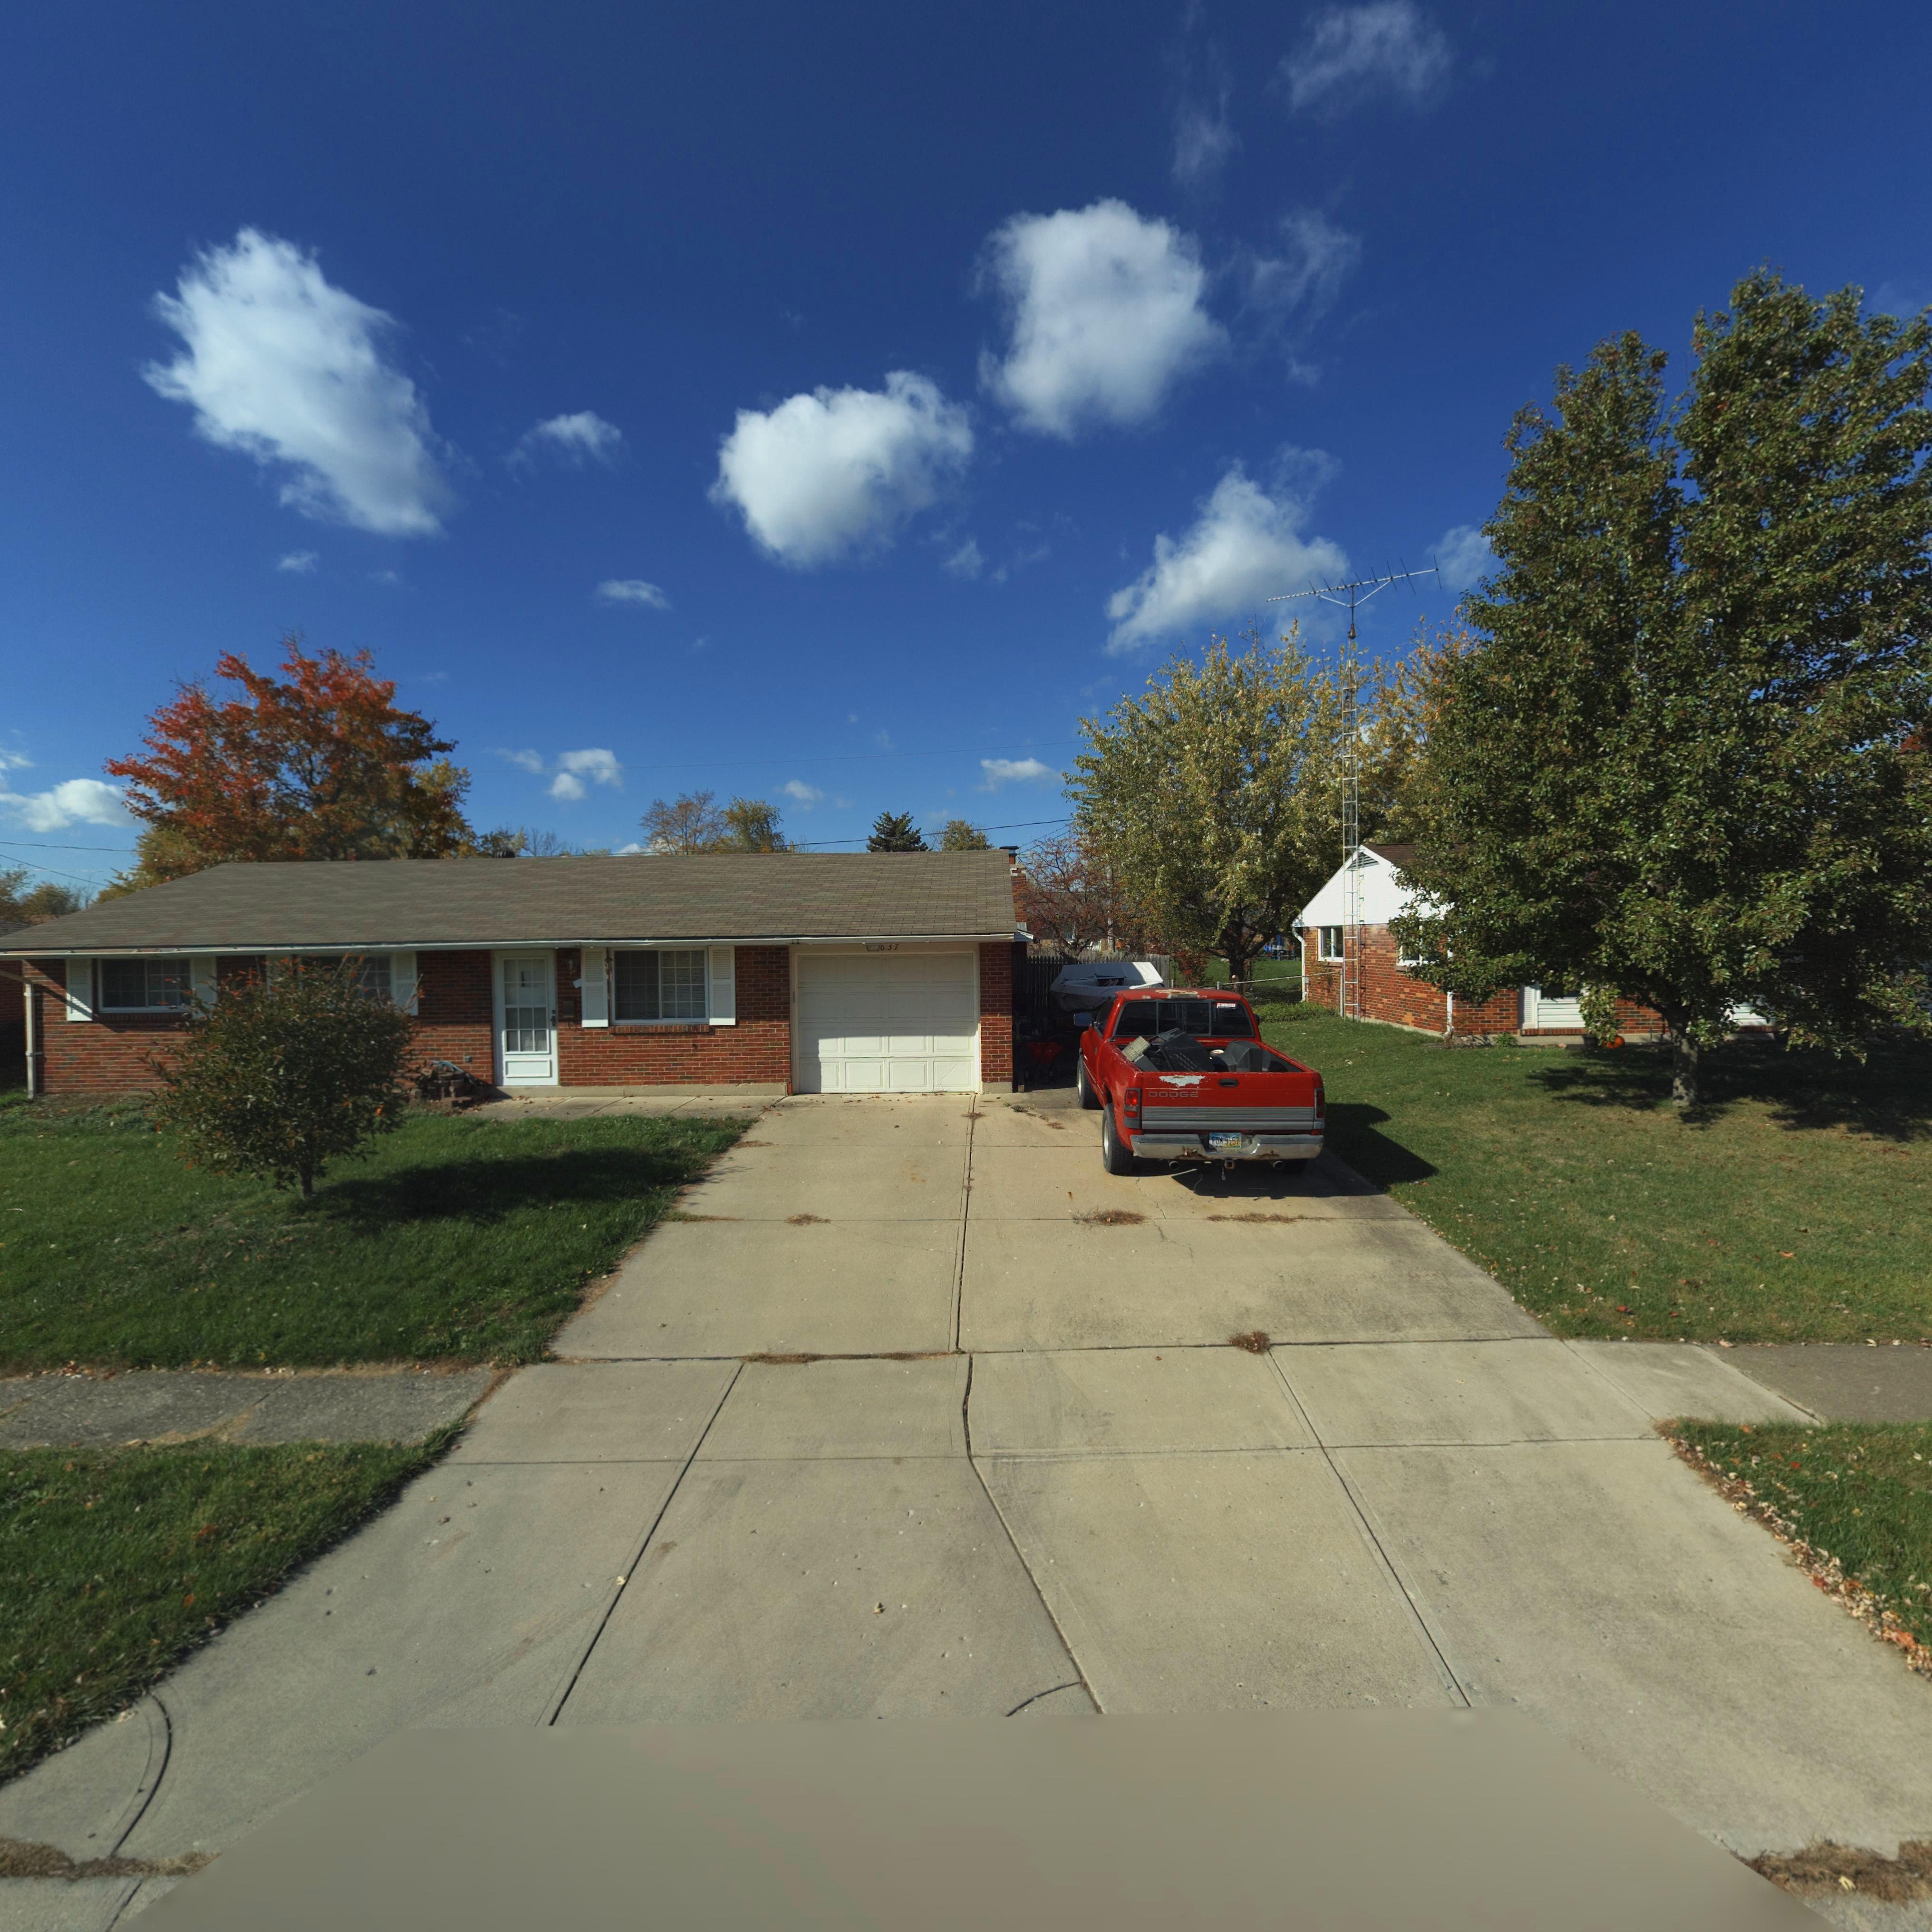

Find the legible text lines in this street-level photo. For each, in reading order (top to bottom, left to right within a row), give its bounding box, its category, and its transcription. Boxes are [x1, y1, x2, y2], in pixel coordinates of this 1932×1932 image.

[879, 943, 900, 952] StreetNumber: **7